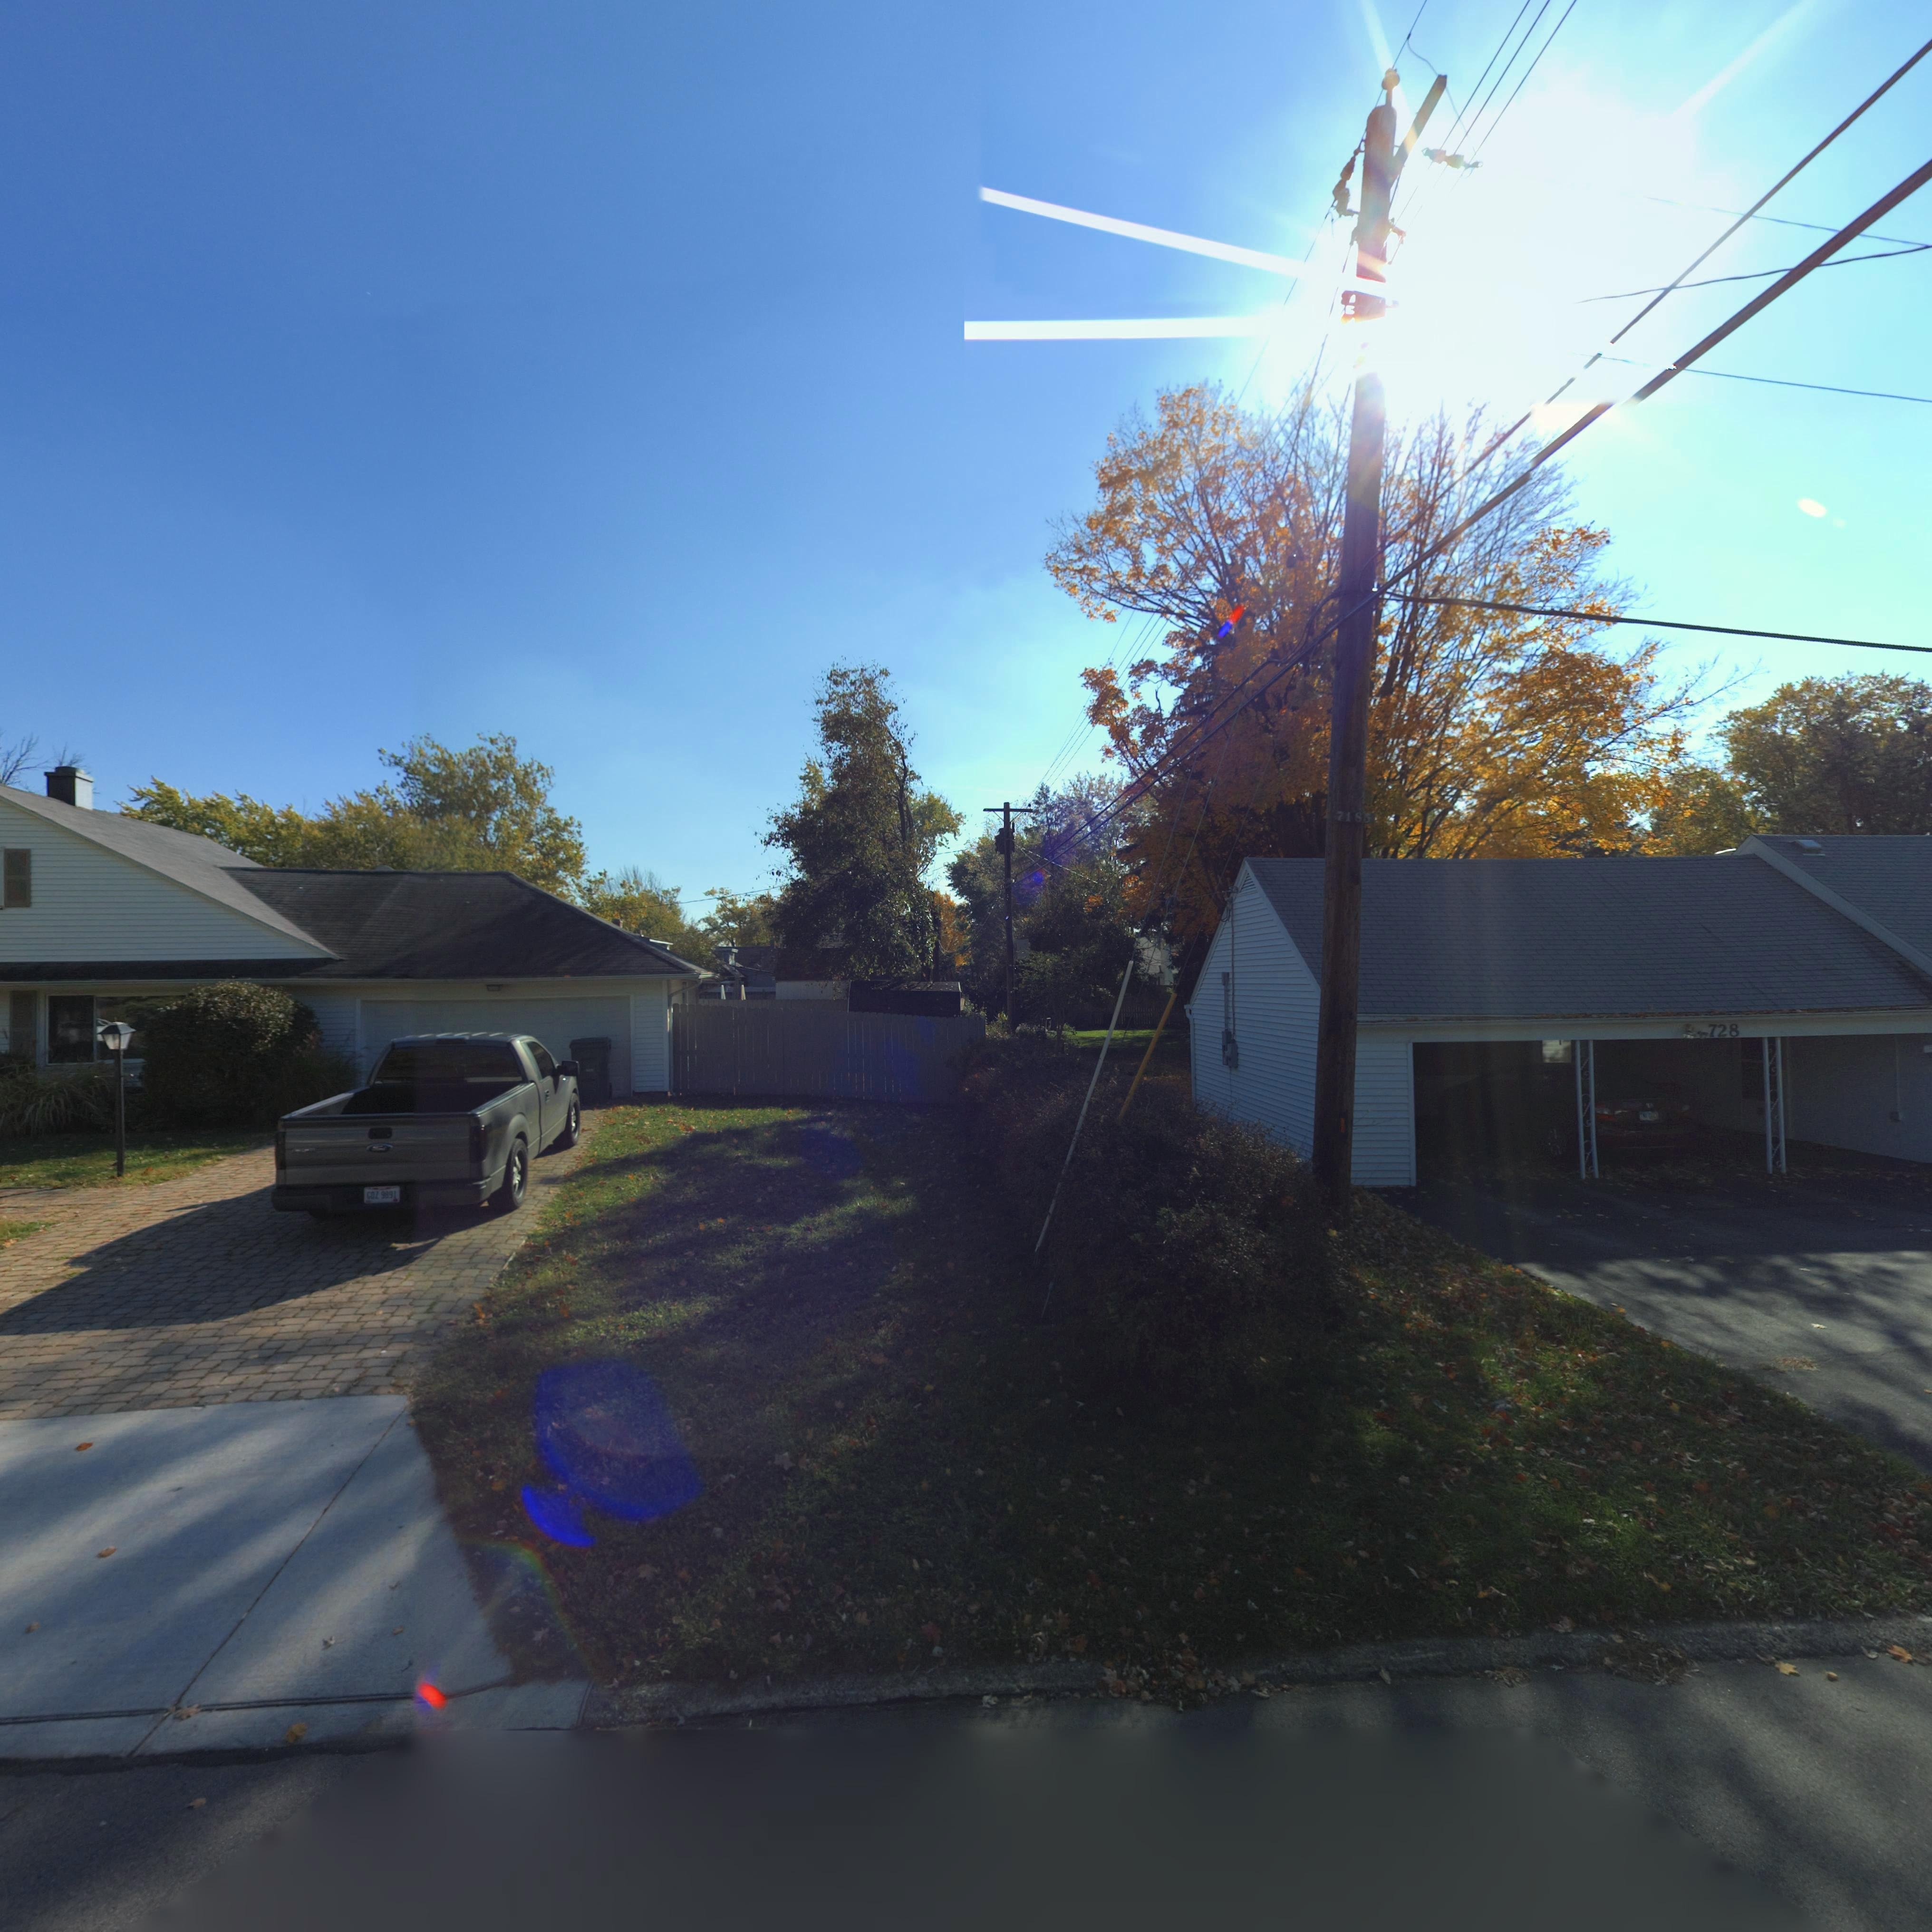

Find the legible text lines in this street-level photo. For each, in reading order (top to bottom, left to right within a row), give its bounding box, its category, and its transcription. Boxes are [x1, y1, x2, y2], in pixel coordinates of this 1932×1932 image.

[1706, 1021, 1741, 1039] StreetNumber: 728
[365, 1188, 398, 1201] None: GDZ 9891